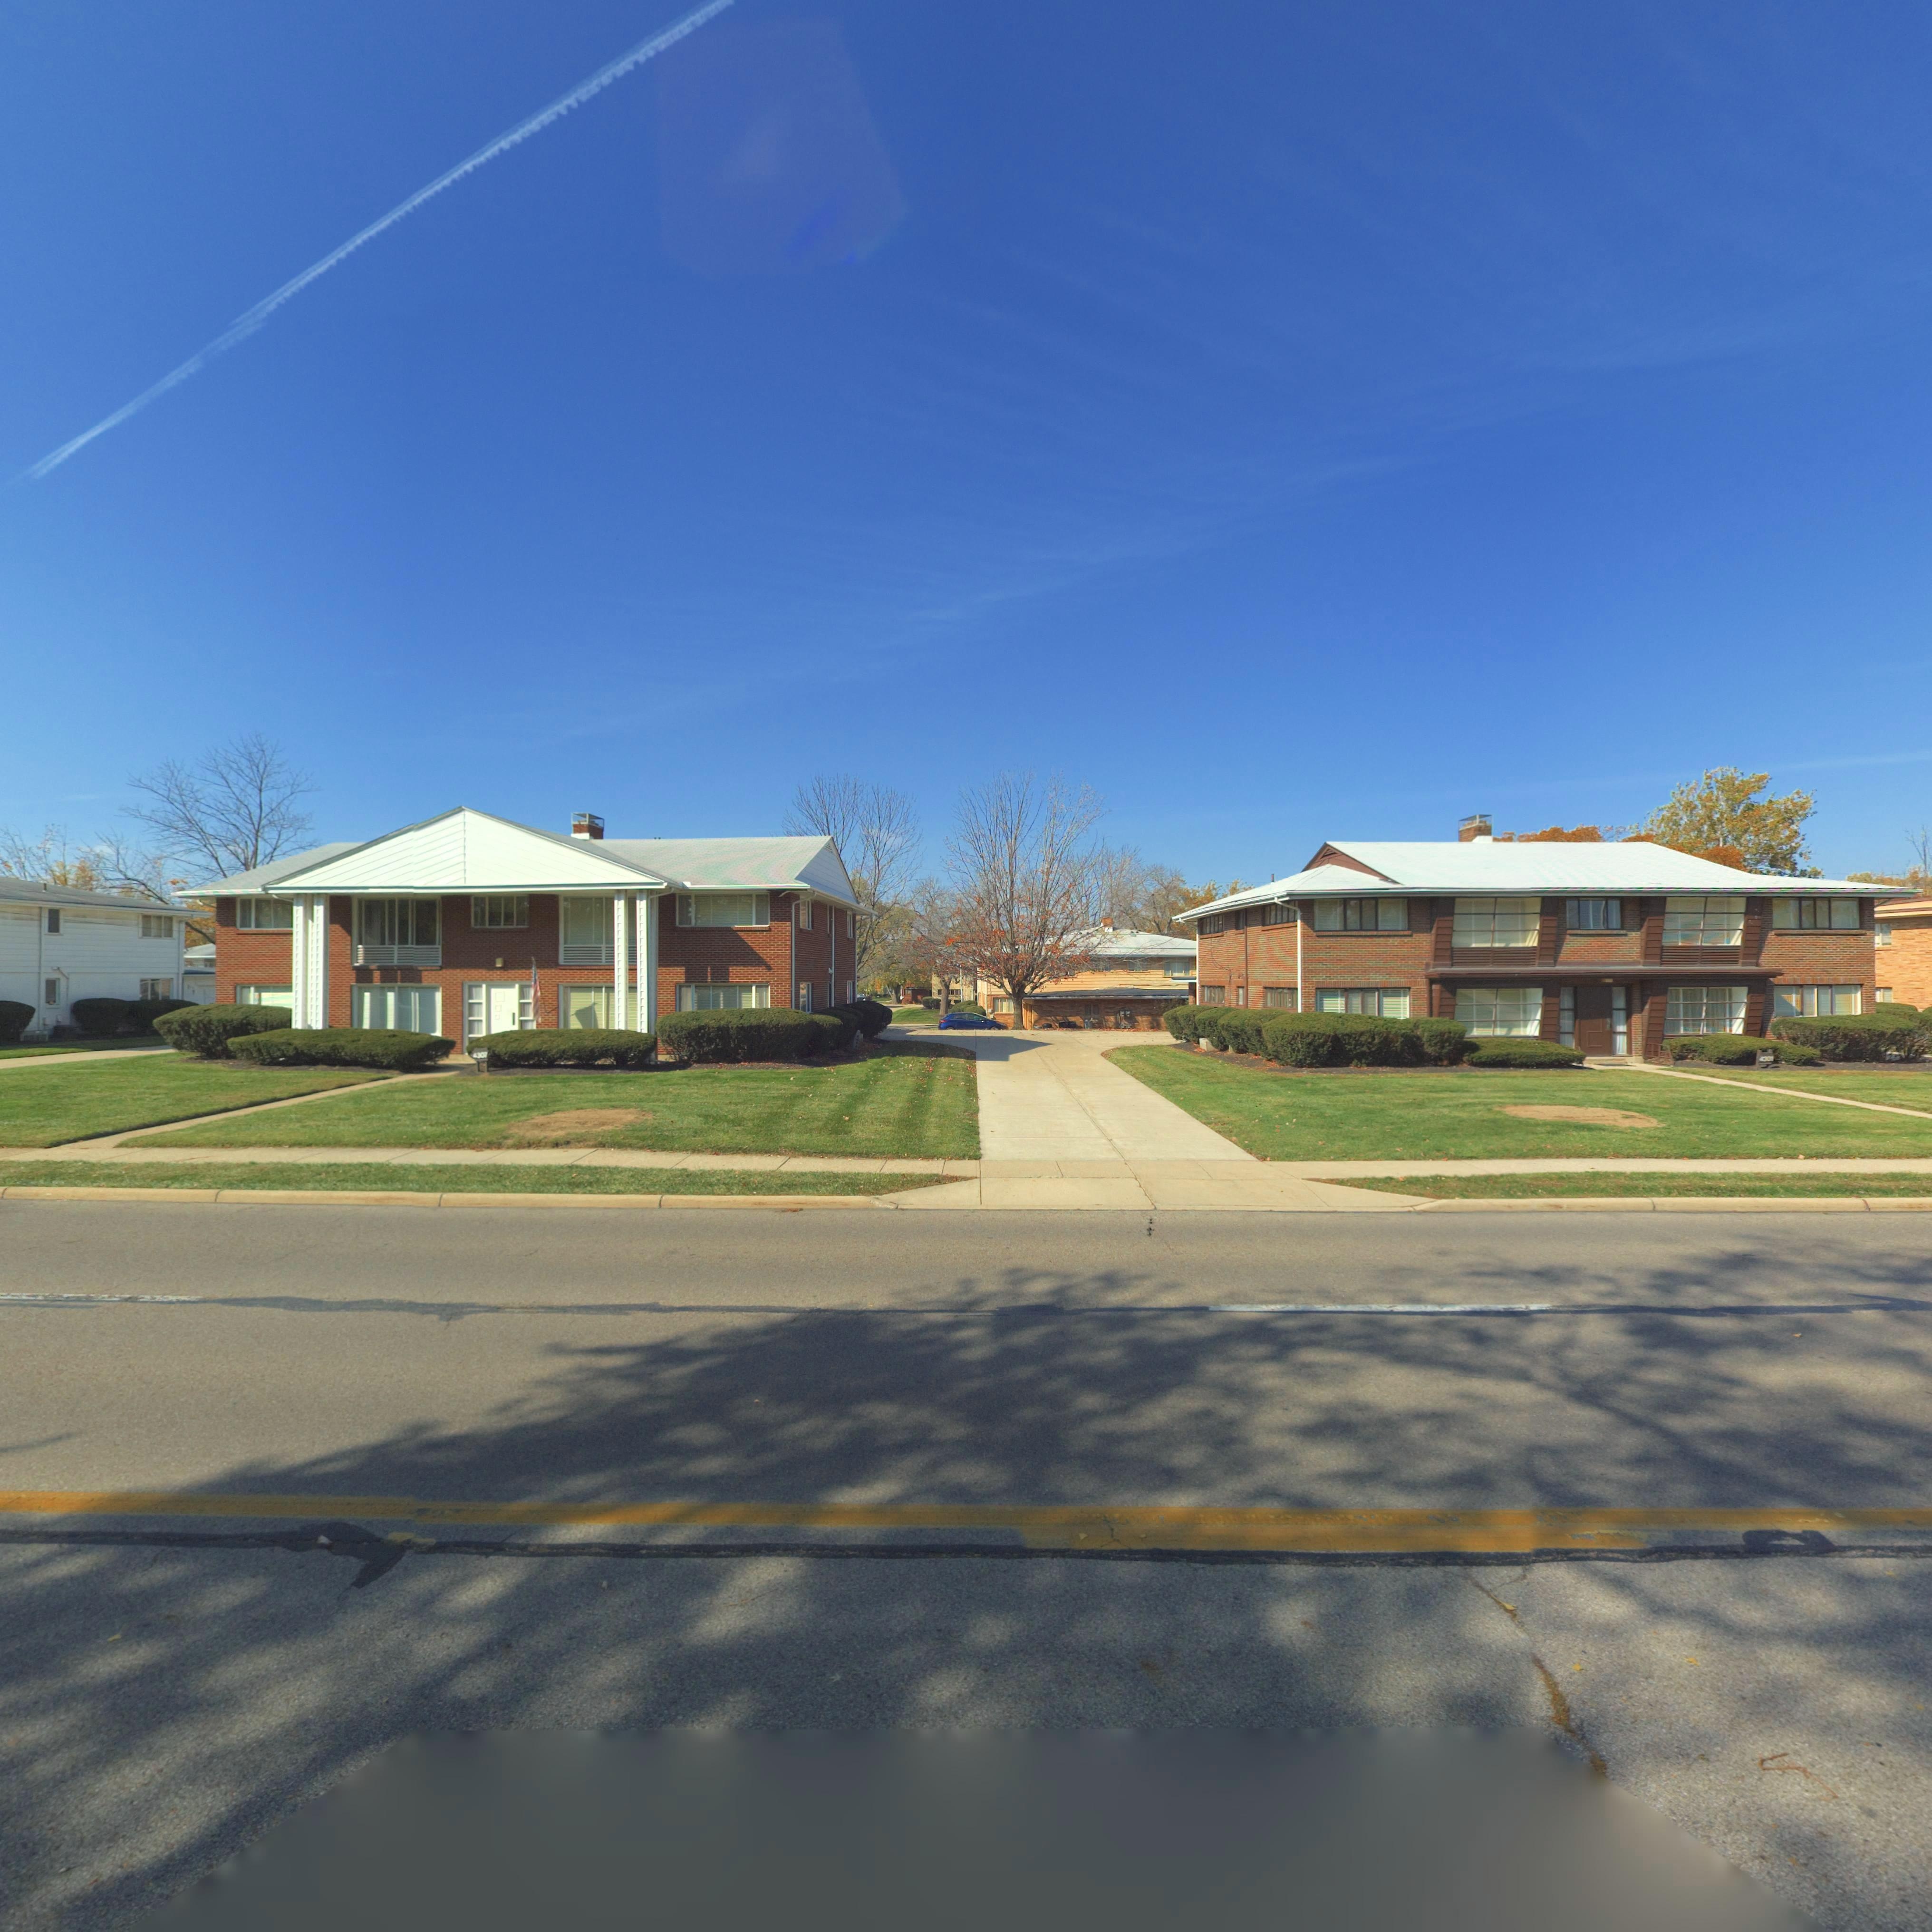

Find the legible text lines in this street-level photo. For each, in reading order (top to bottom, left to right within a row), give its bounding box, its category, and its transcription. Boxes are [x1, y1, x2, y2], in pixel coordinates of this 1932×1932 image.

[471, 1051, 489, 1060] StreetNumber: 4307
[1758, 1055, 1774, 1063] StreetNumber: 430*